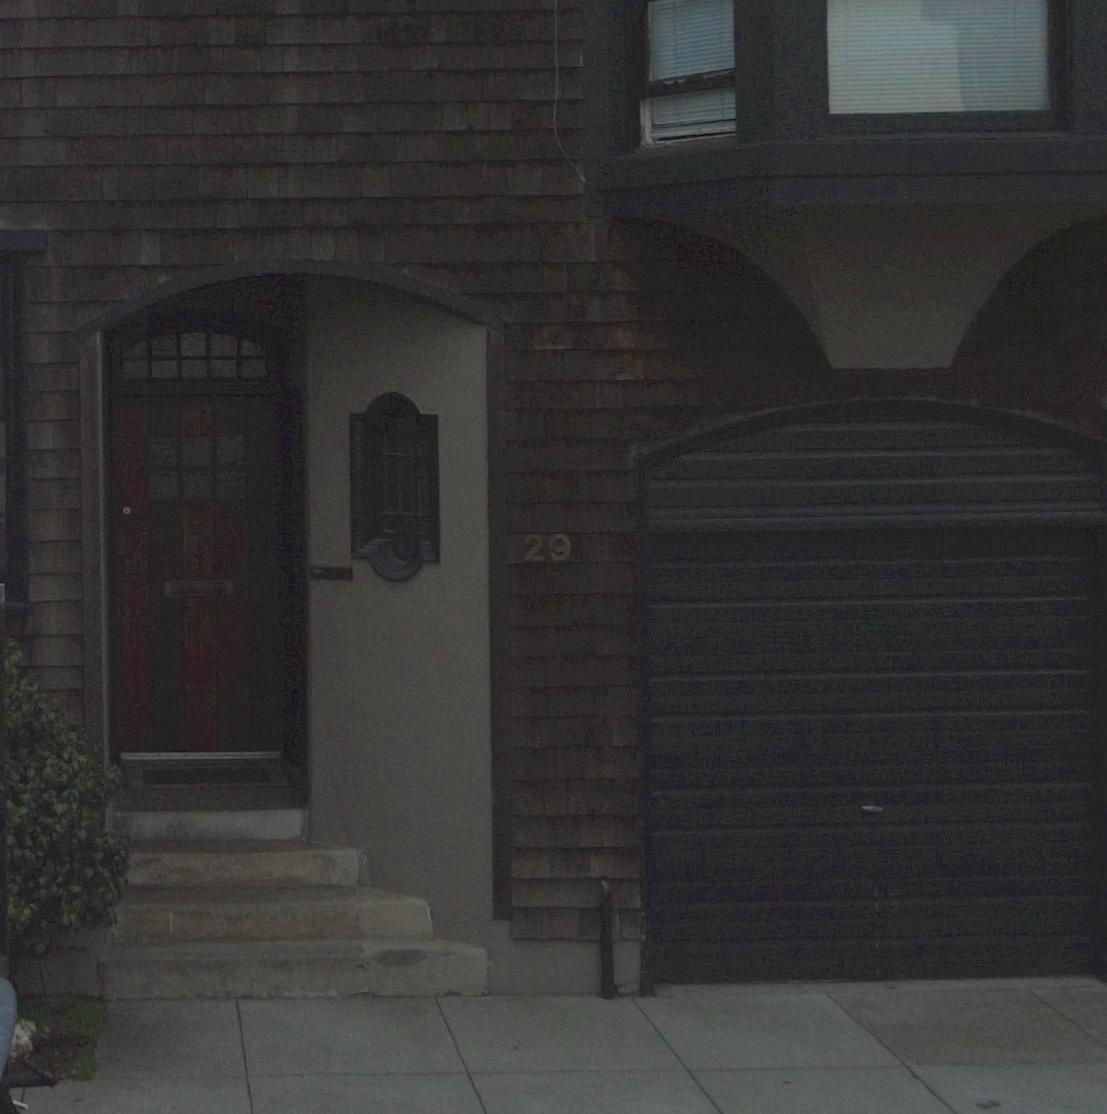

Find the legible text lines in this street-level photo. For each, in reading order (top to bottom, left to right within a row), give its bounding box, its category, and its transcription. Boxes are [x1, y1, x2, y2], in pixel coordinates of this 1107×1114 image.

[522, 532, 572, 563] StreetNumber: 29